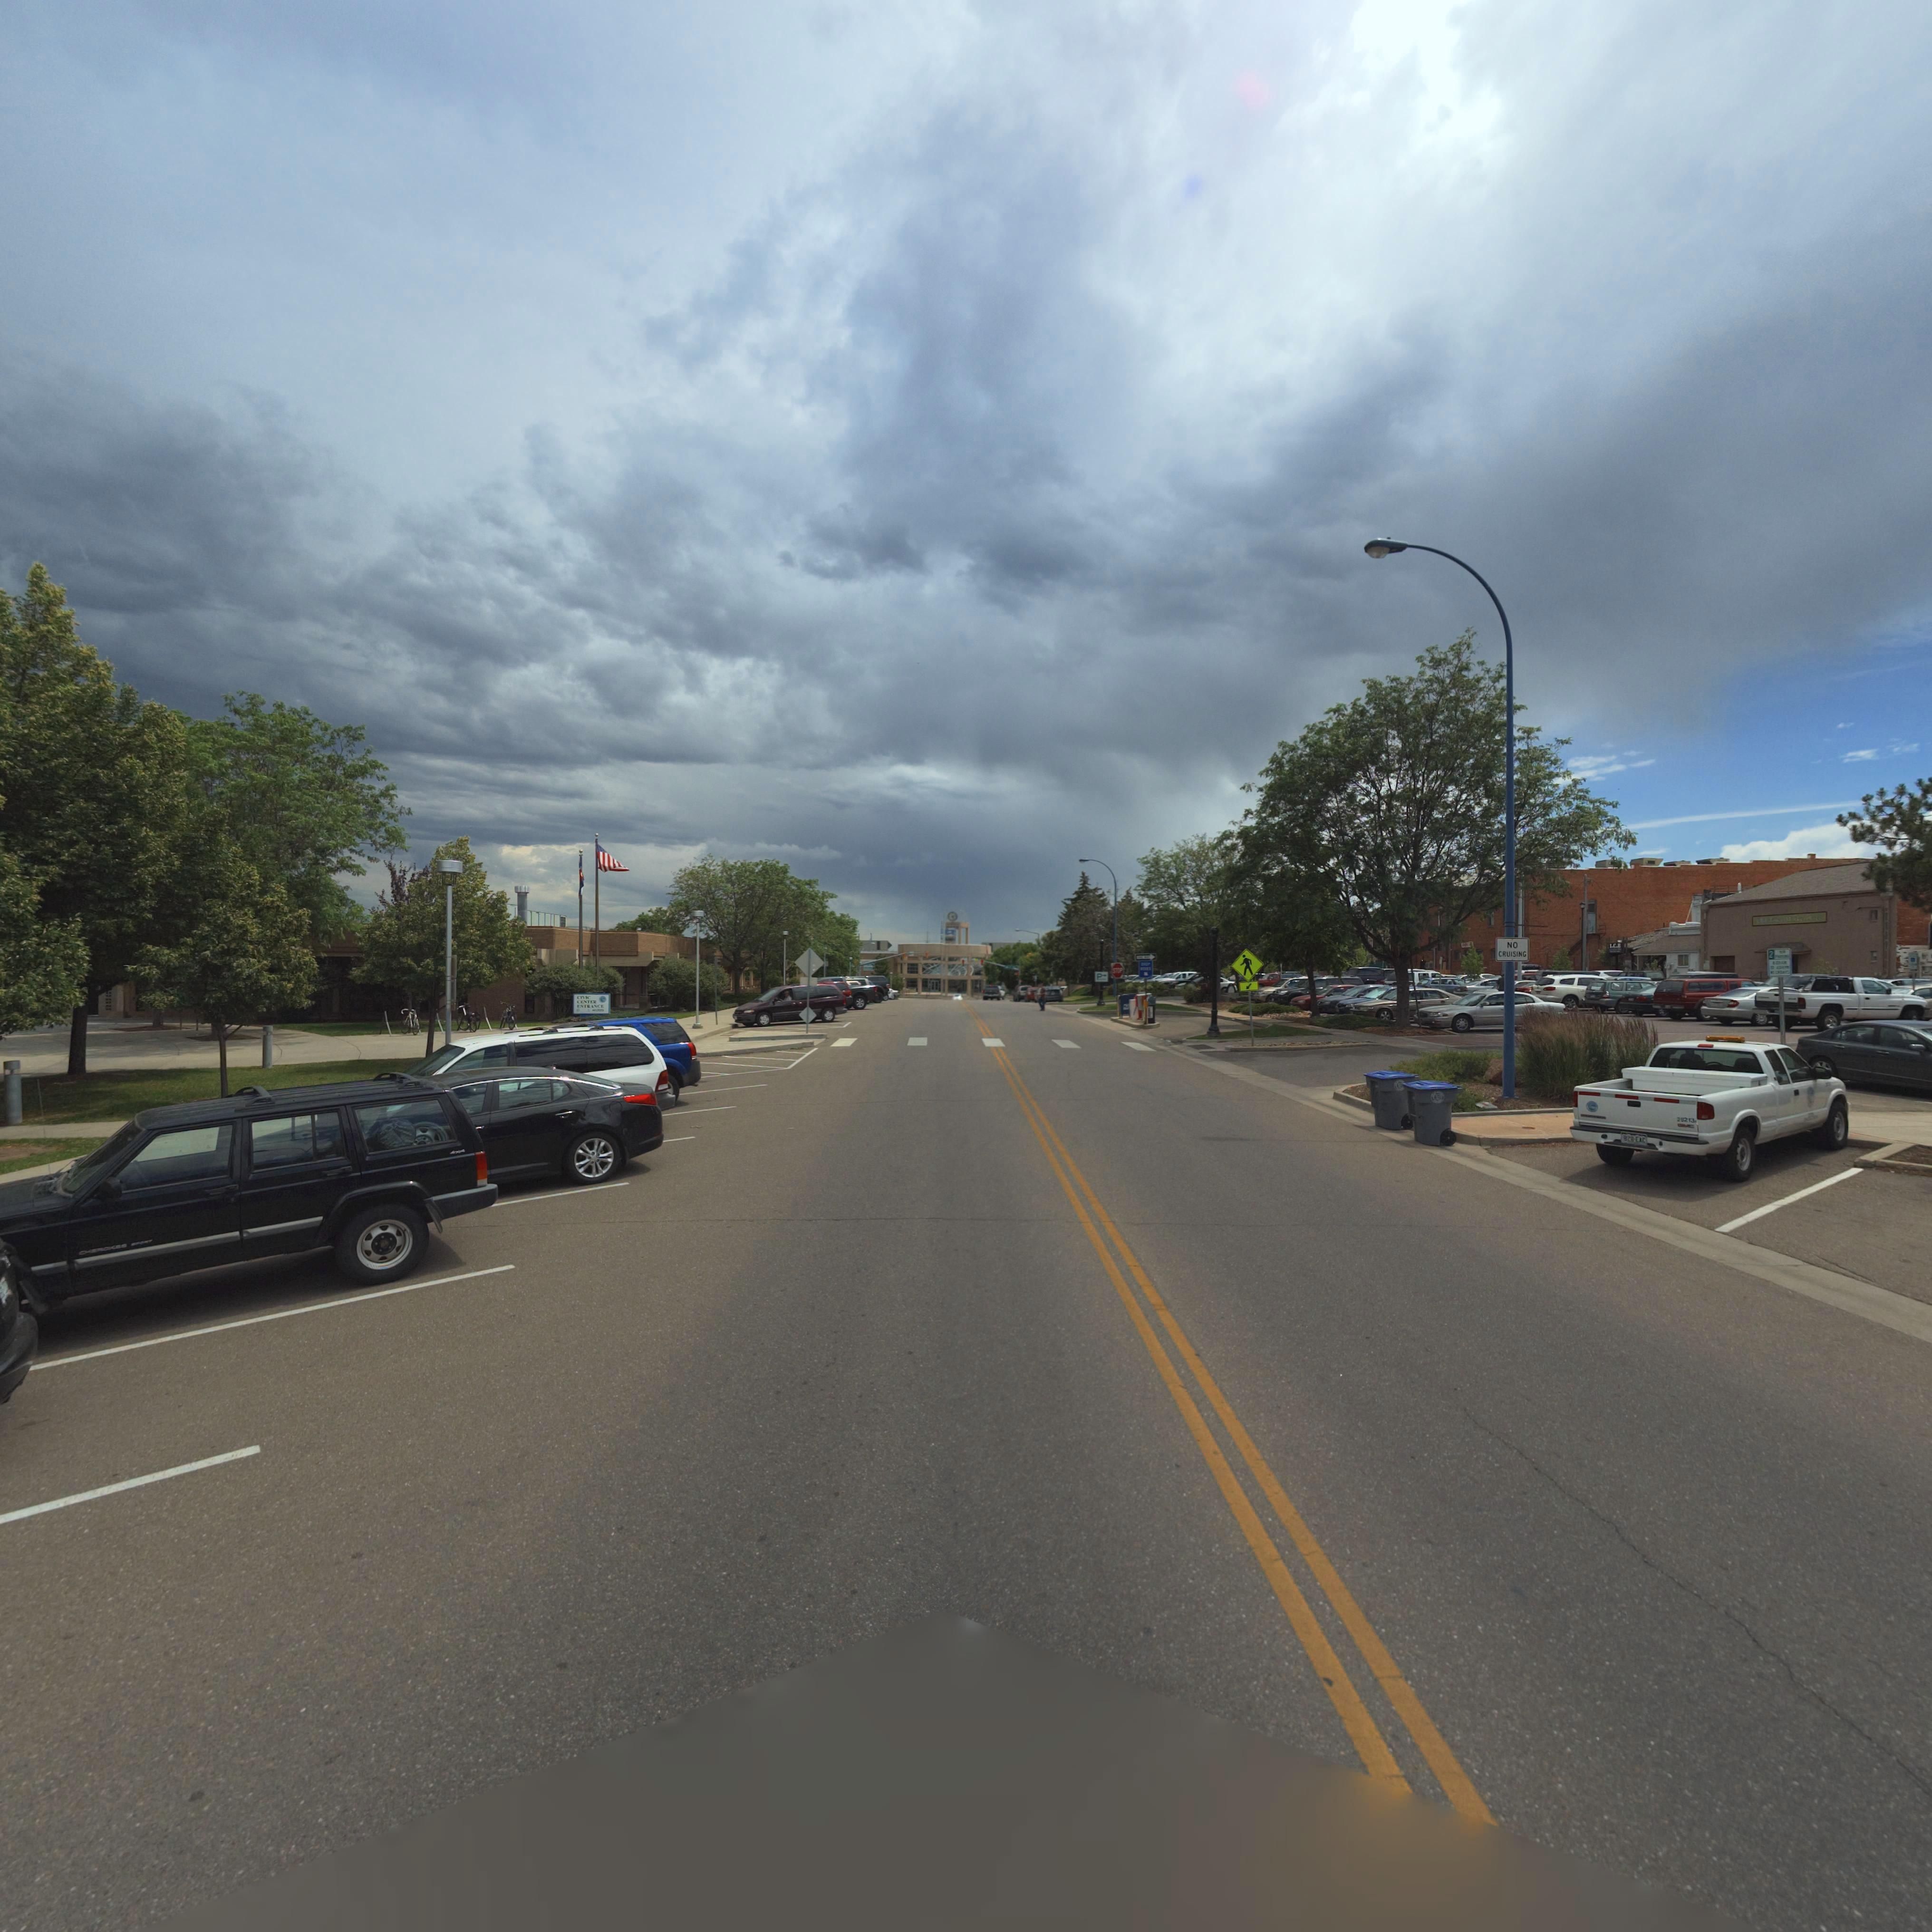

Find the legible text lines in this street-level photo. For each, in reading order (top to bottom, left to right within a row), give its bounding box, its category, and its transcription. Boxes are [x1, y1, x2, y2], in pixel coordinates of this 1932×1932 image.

[577, 995, 590, 999] BusinessName: CIVIC
[576, 1000, 597, 1004] BusinessName: CENTER